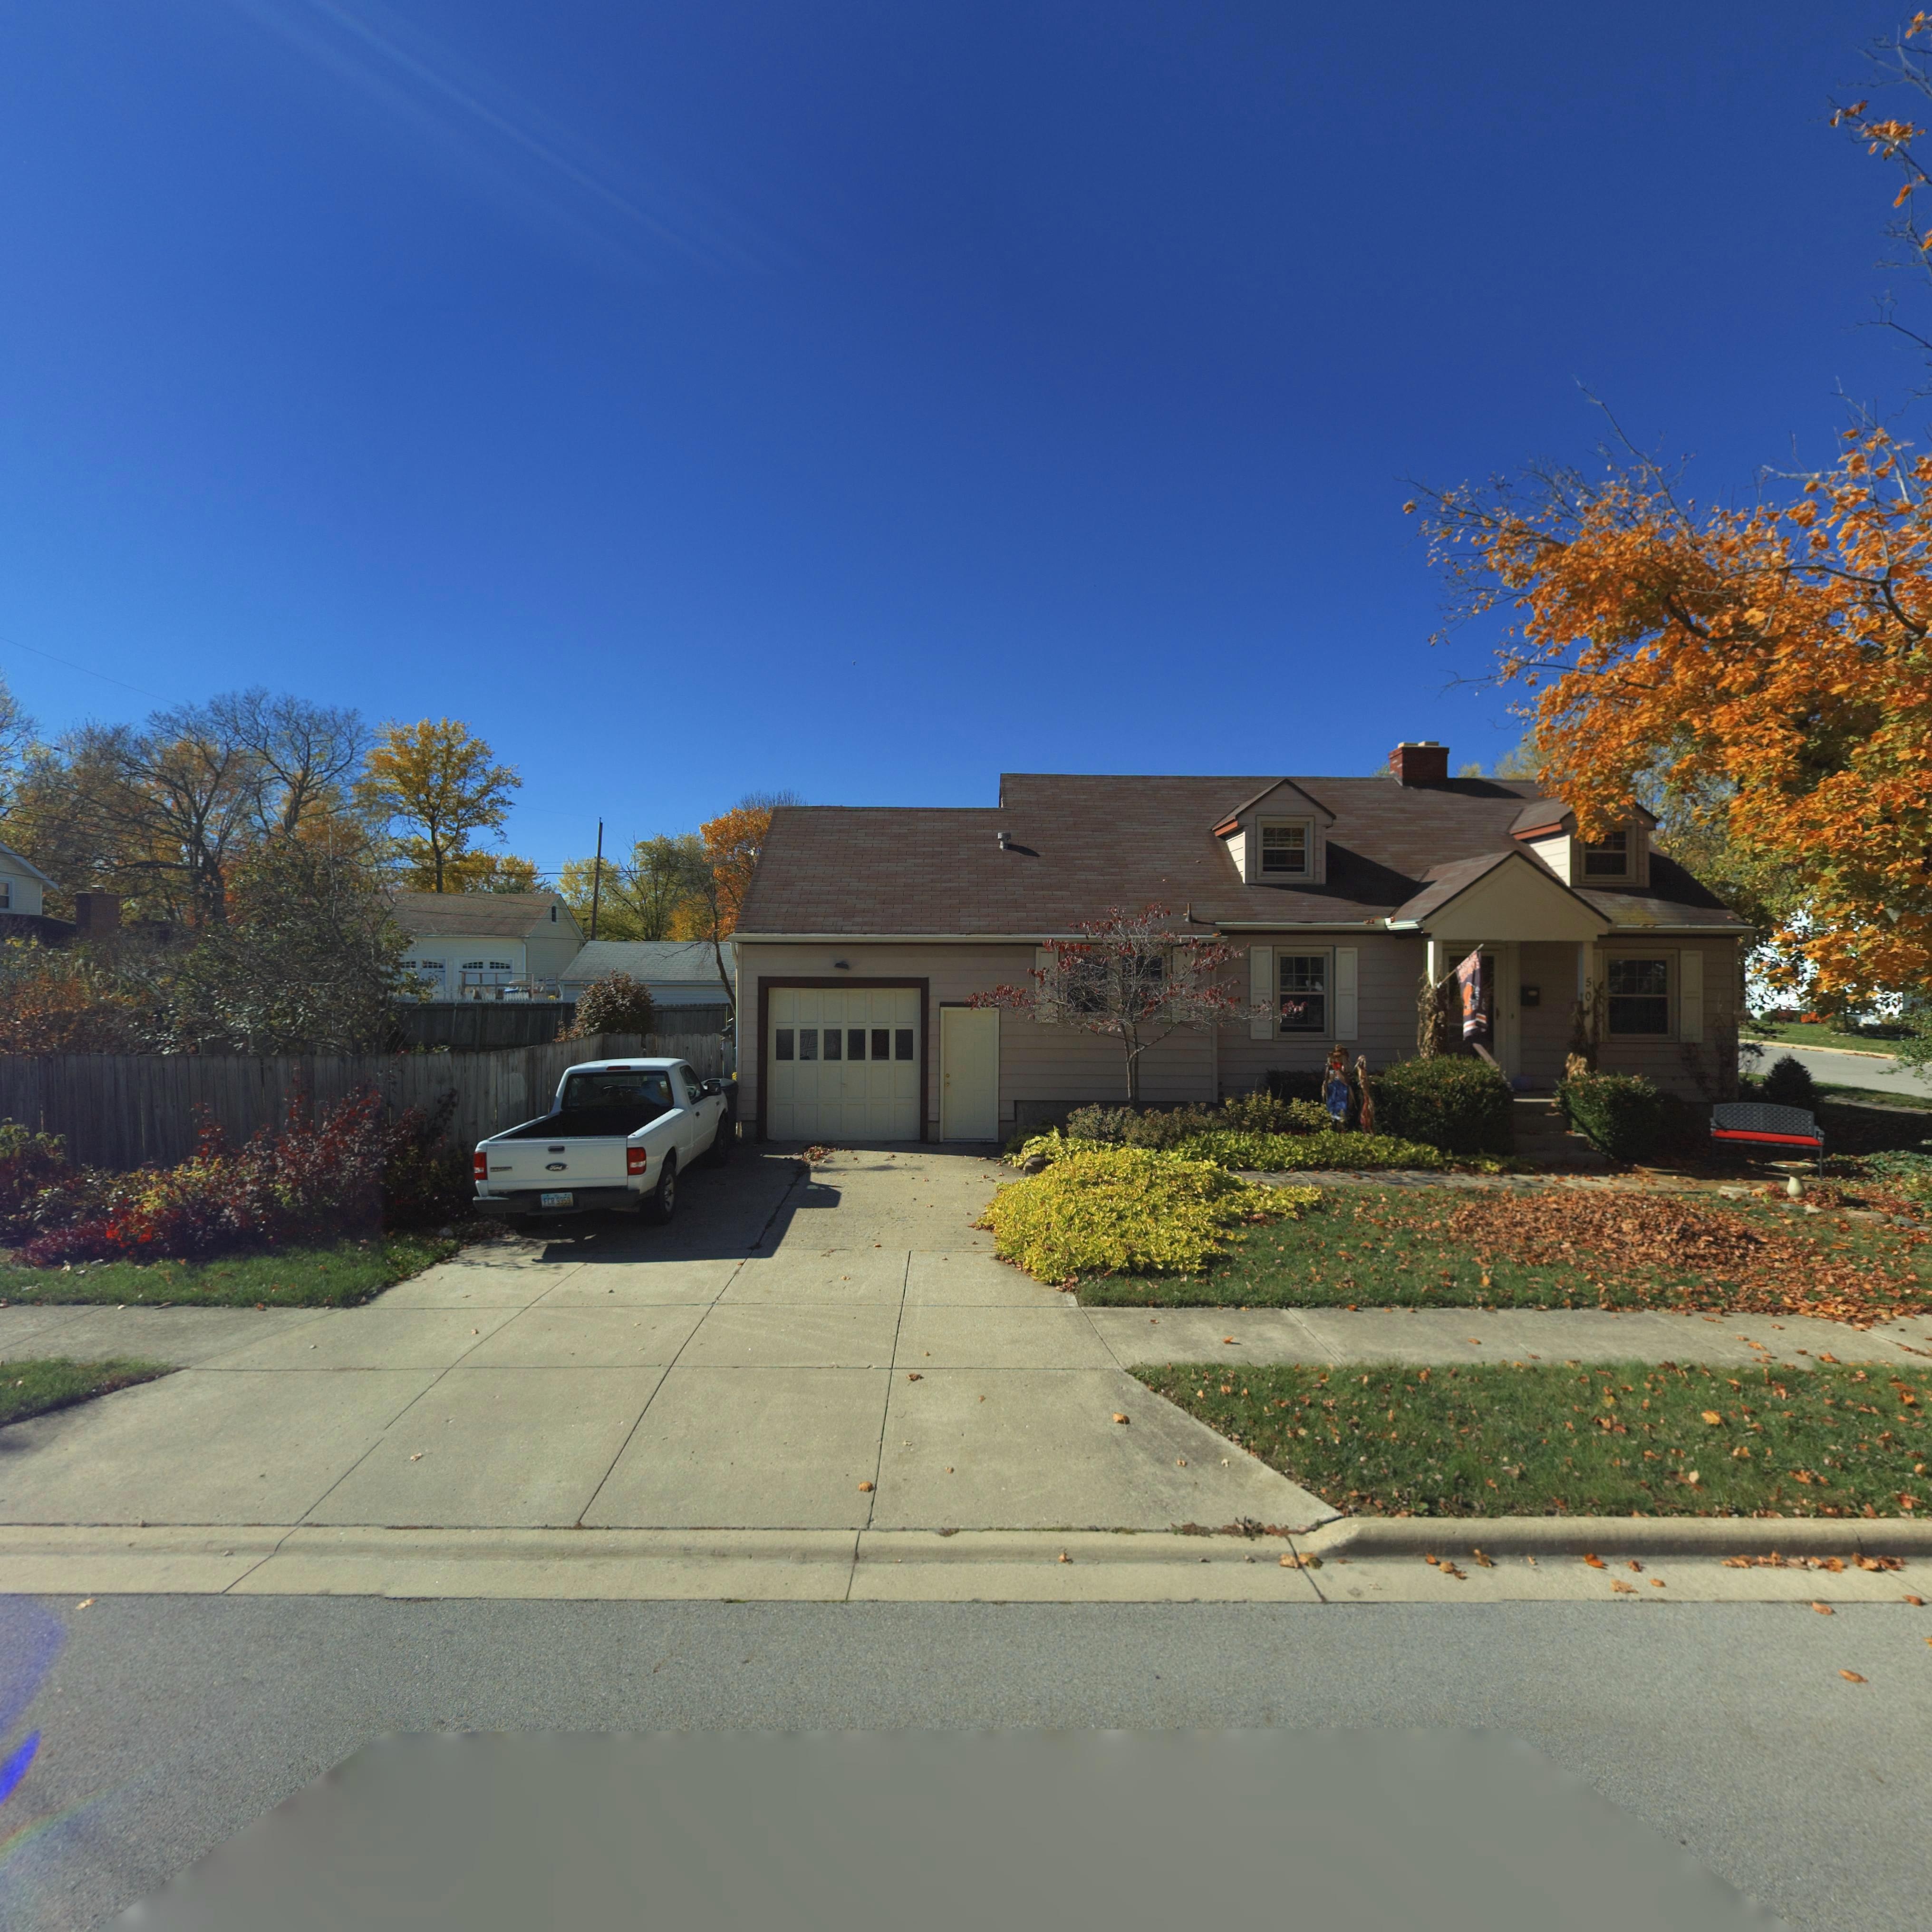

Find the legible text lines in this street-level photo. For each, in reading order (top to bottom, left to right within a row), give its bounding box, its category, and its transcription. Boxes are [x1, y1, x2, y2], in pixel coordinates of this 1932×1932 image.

[1584, 976, 1593, 1016] StreetNumber: 50*
[542, 1196, 571, 1206] None: FCR*9959